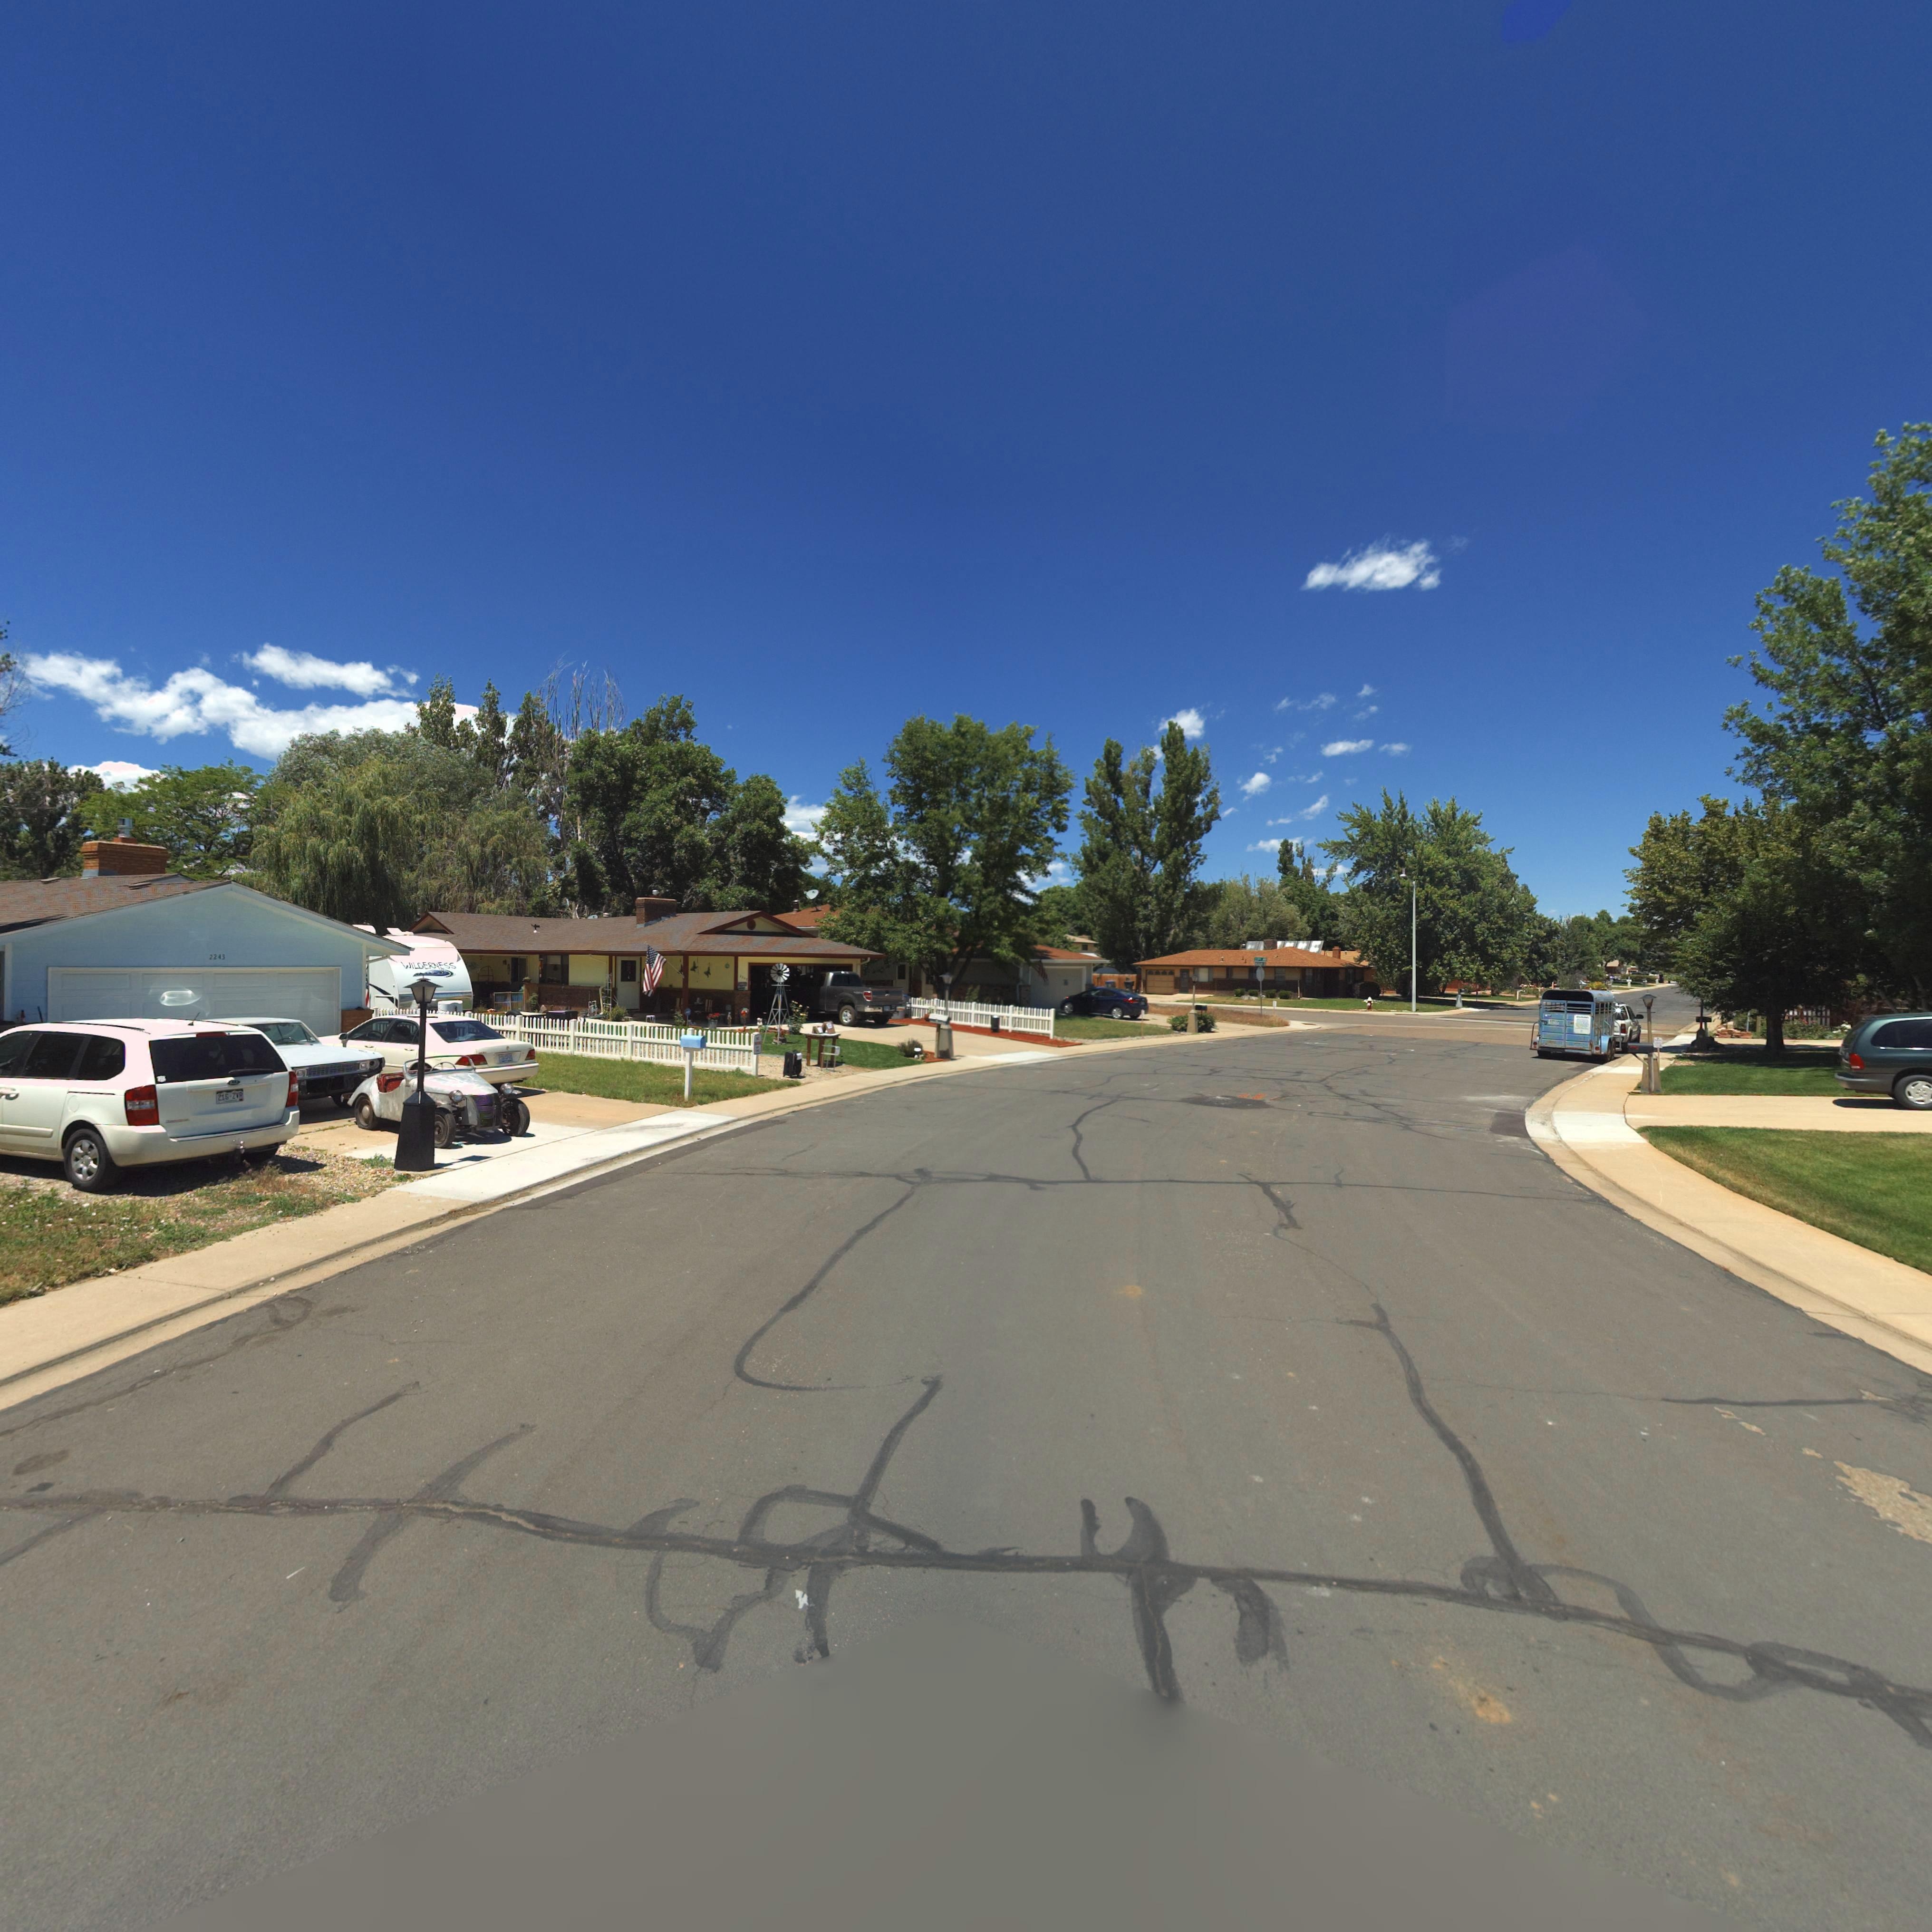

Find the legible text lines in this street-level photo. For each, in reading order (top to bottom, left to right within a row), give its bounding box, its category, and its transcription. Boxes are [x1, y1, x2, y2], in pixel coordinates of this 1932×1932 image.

[209, 953, 225, 960] StreetNumber: 2243
[1255, 957, 1266, 961] StreetName: 23** *V
[739, 974, 747, 981] StreetNumber: 22**